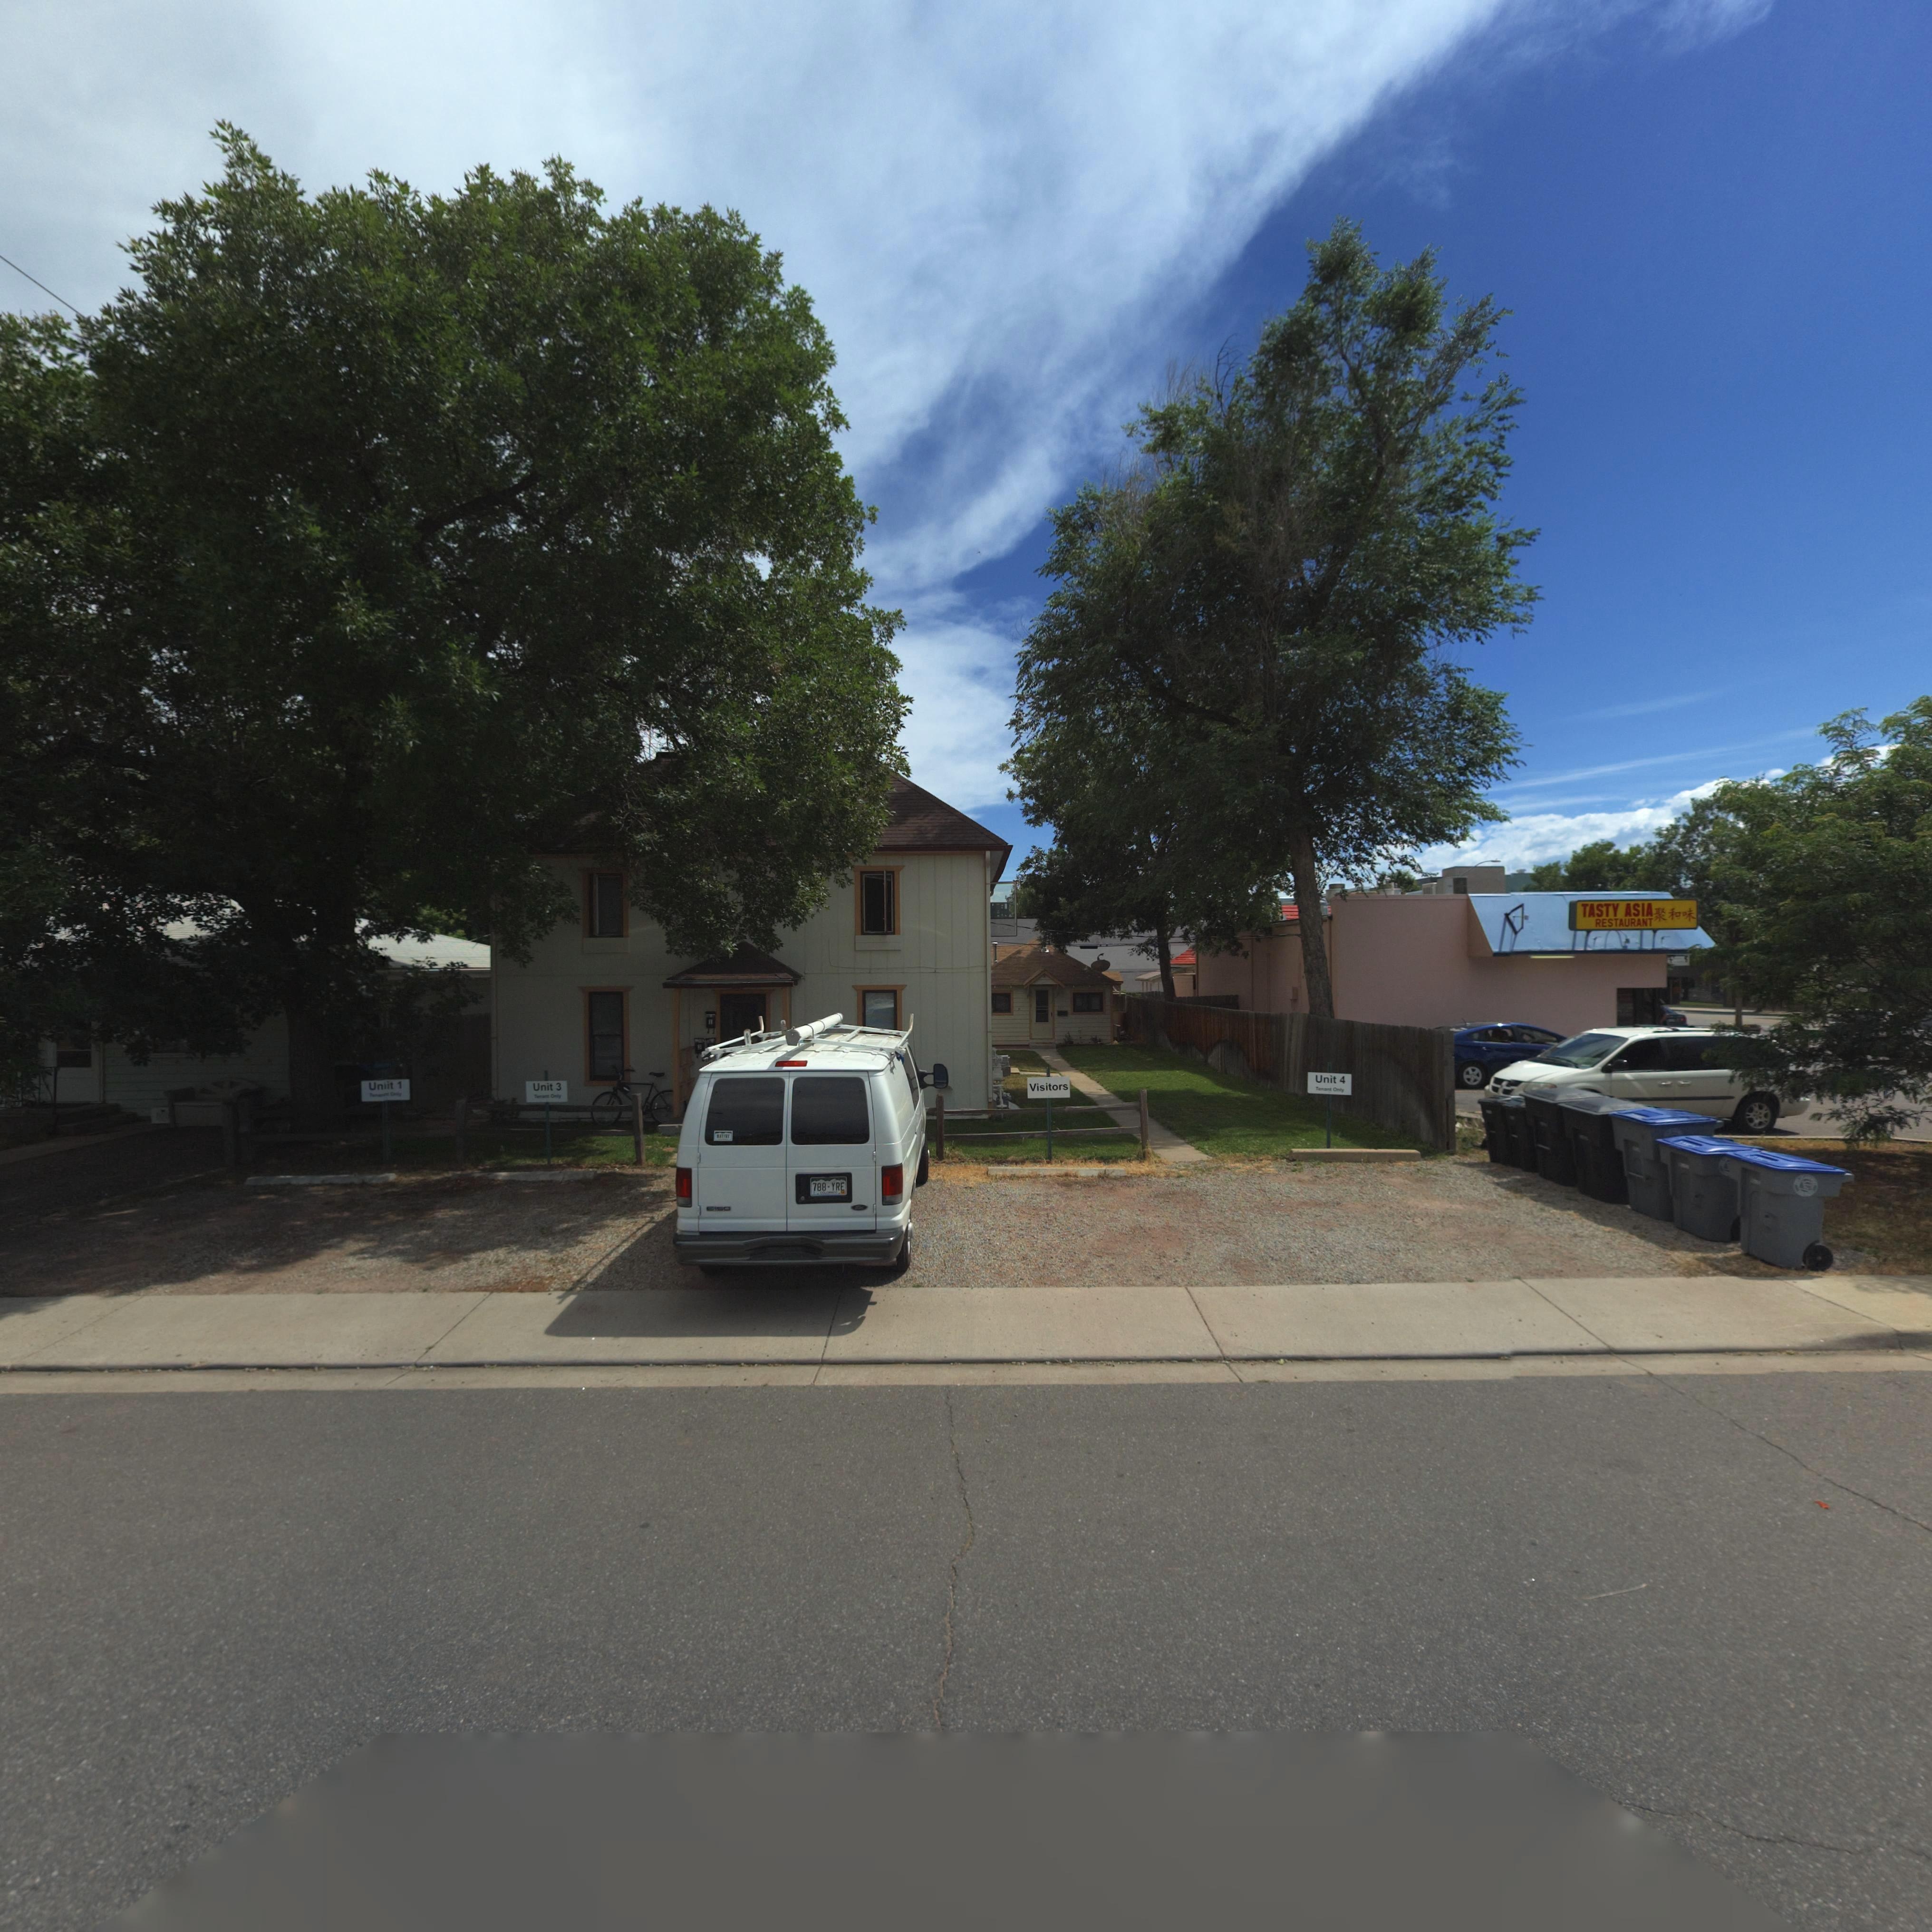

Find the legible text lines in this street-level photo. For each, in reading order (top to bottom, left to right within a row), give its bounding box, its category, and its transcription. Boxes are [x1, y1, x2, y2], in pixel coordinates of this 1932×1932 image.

[1580, 902, 1654, 918] BusinessName: TASTY ASIA
[1594, 918, 1654, 927] BusinessName: RESTAURANT
[1315, 1073, 1345, 1084] StreetNumberRange: Unit 4
[368, 1081, 402, 1091] SecondaryUnitDesignator: Unit 1
[533, 1082, 561, 1091] SecondaryUnitDesignator: Unit 3